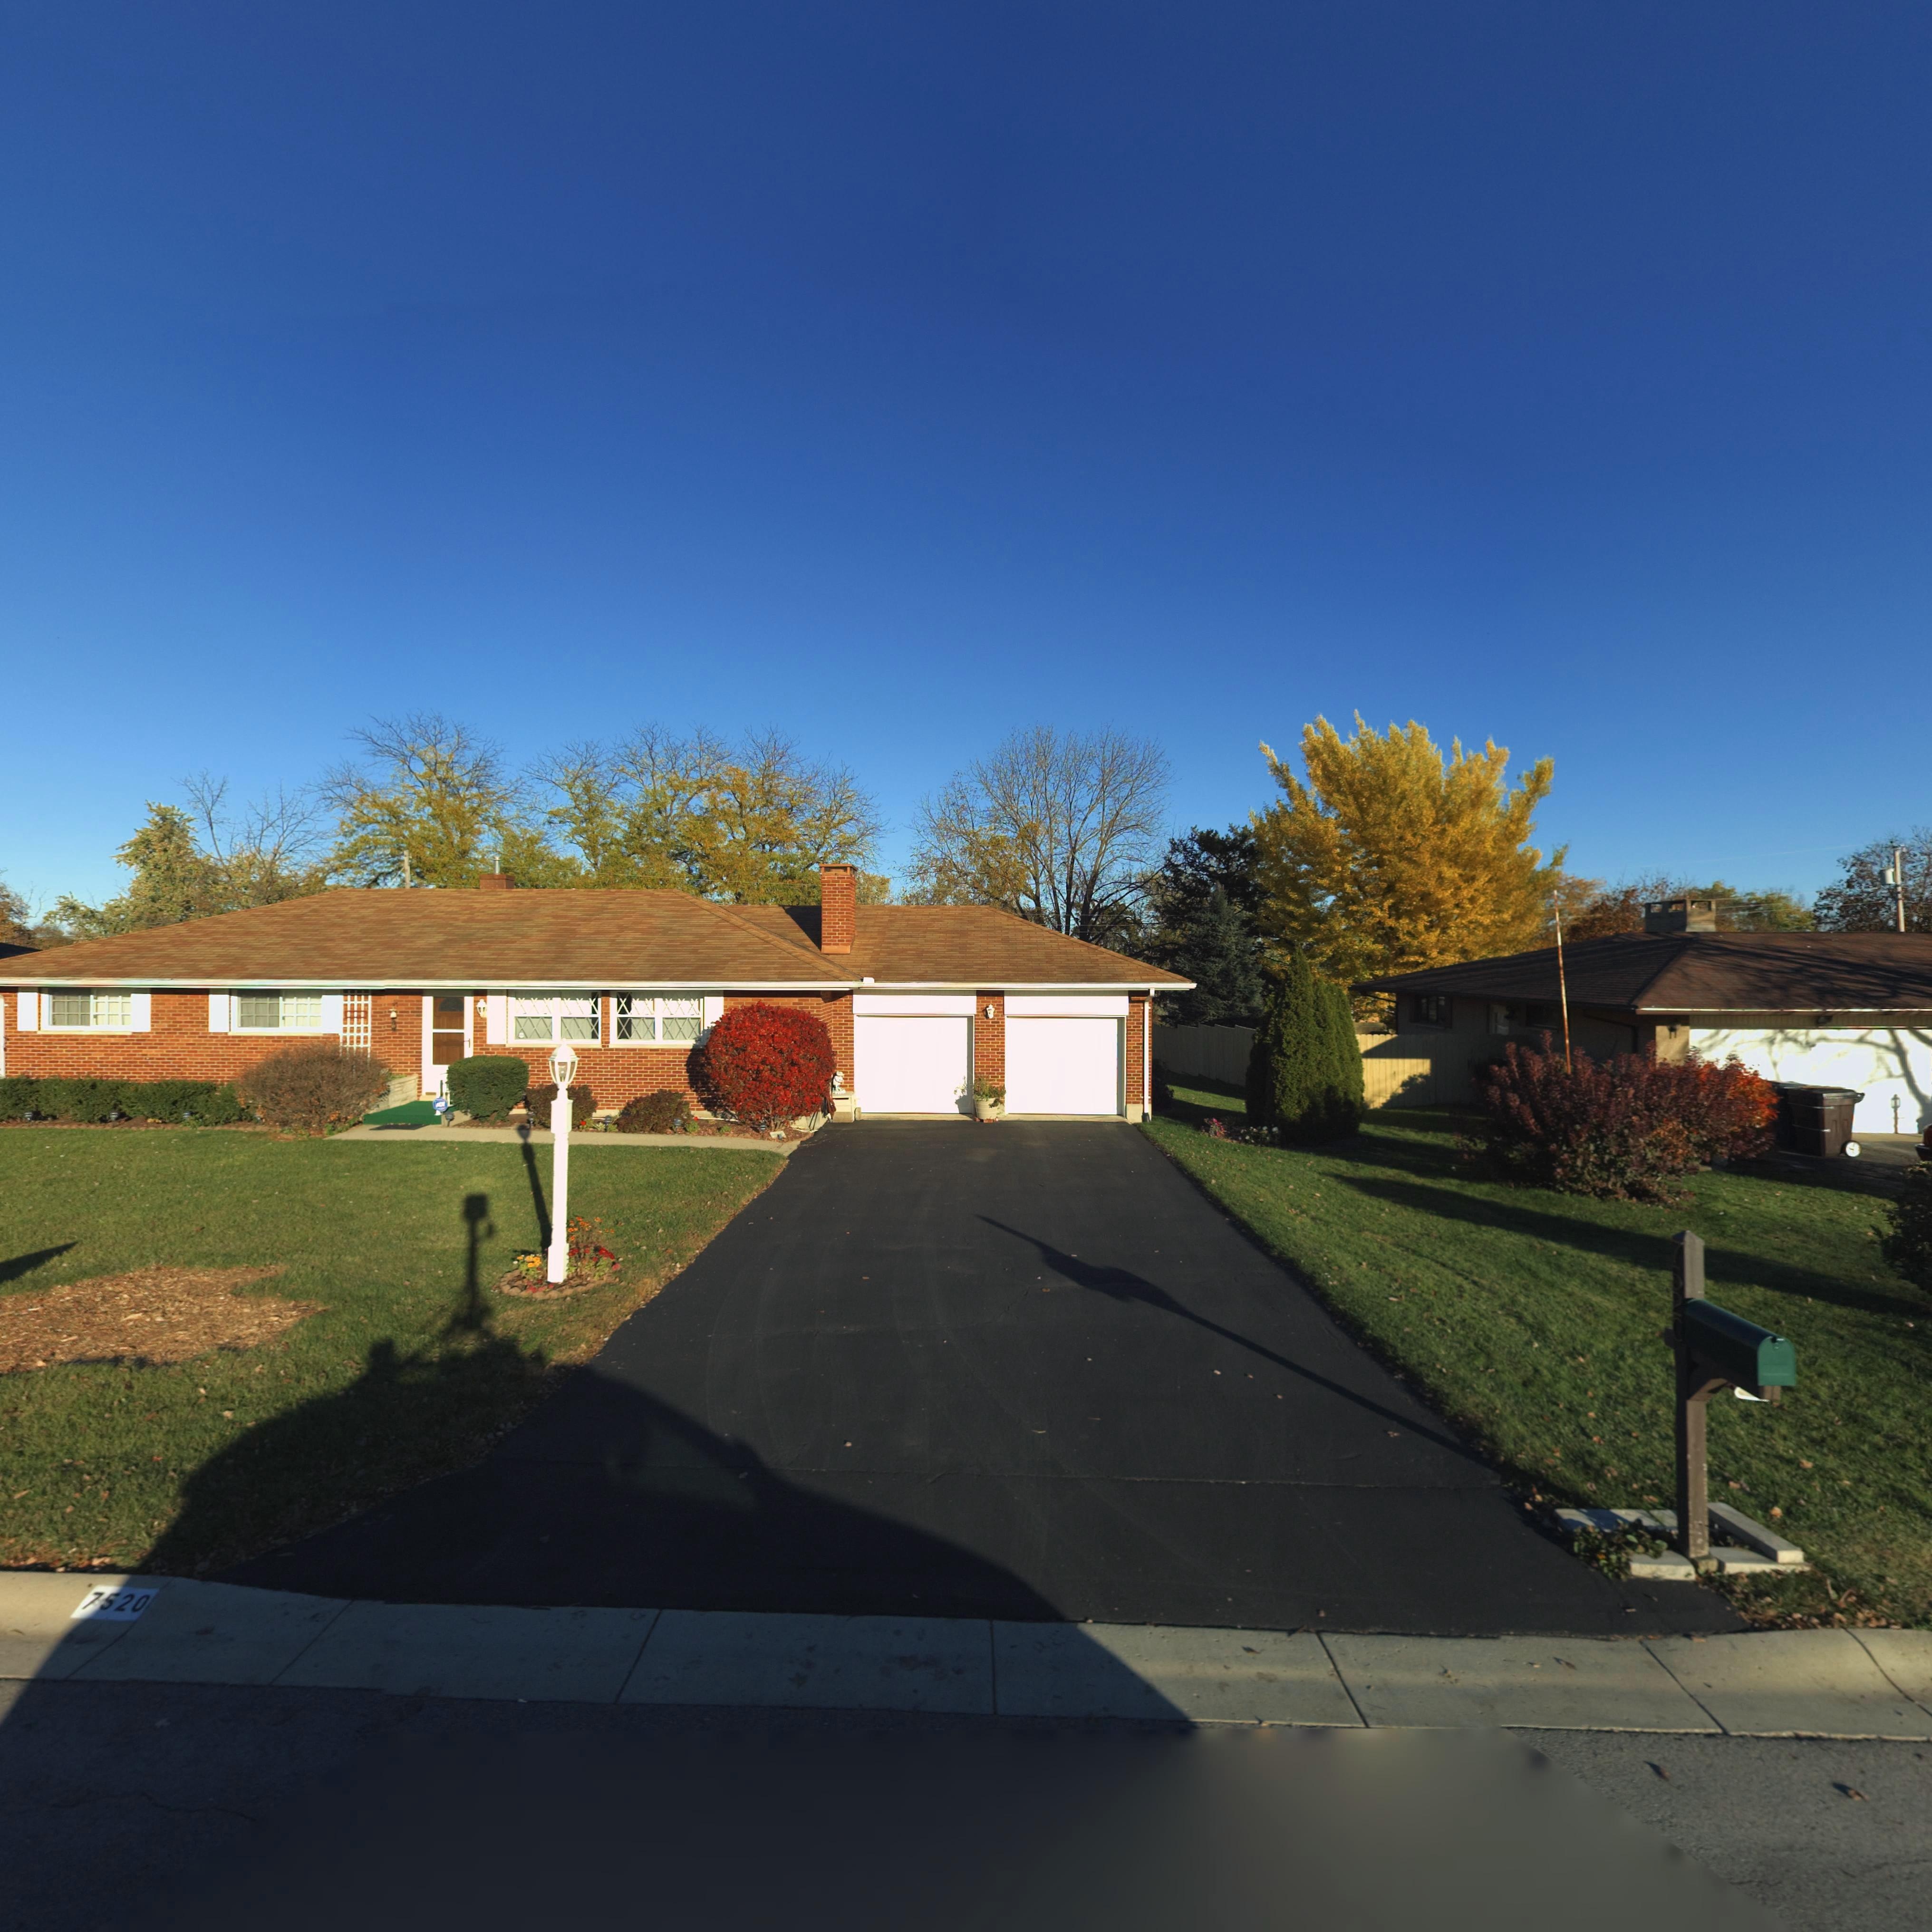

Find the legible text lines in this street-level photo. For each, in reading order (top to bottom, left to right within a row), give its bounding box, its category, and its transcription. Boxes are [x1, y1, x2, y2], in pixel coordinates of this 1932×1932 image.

[1668, 1236, 1685, 1345] StreetNumber: 7520
[79, 1590, 153, 1614] StreetNumber: 7520